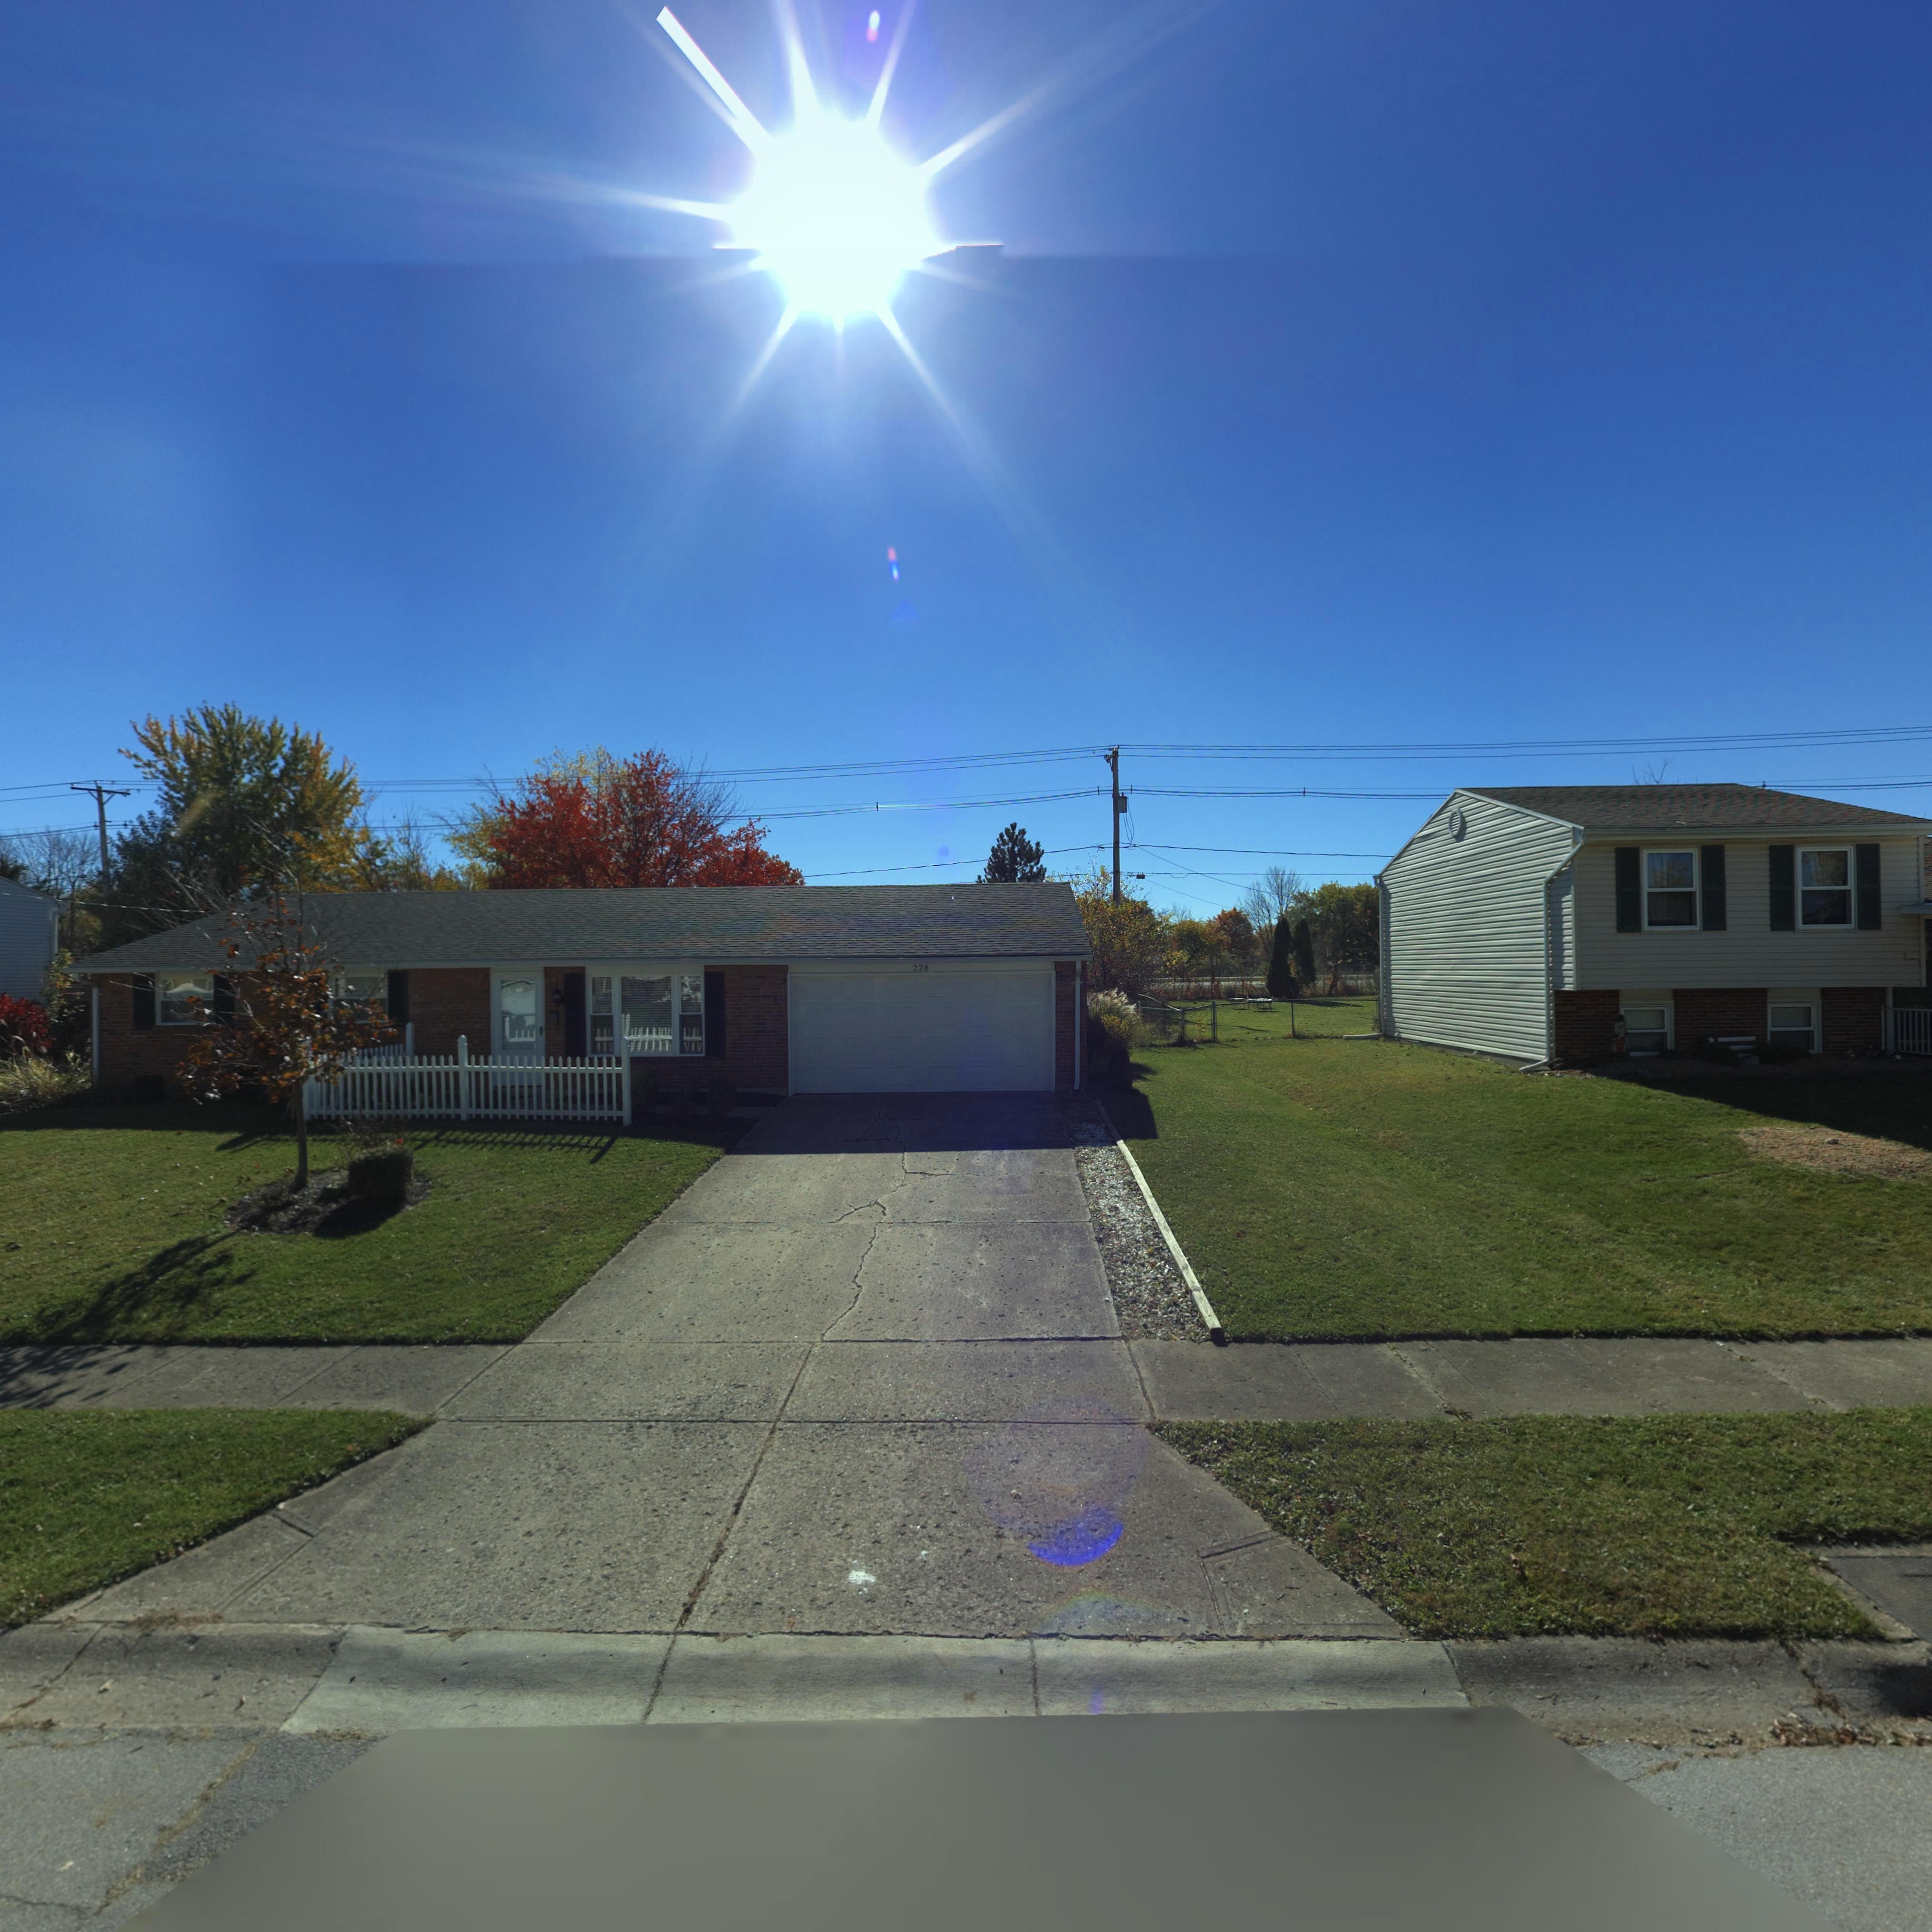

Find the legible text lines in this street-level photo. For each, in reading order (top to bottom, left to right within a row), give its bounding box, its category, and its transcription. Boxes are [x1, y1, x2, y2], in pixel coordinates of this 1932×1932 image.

[913, 964, 929, 971] StreetNumber: 228